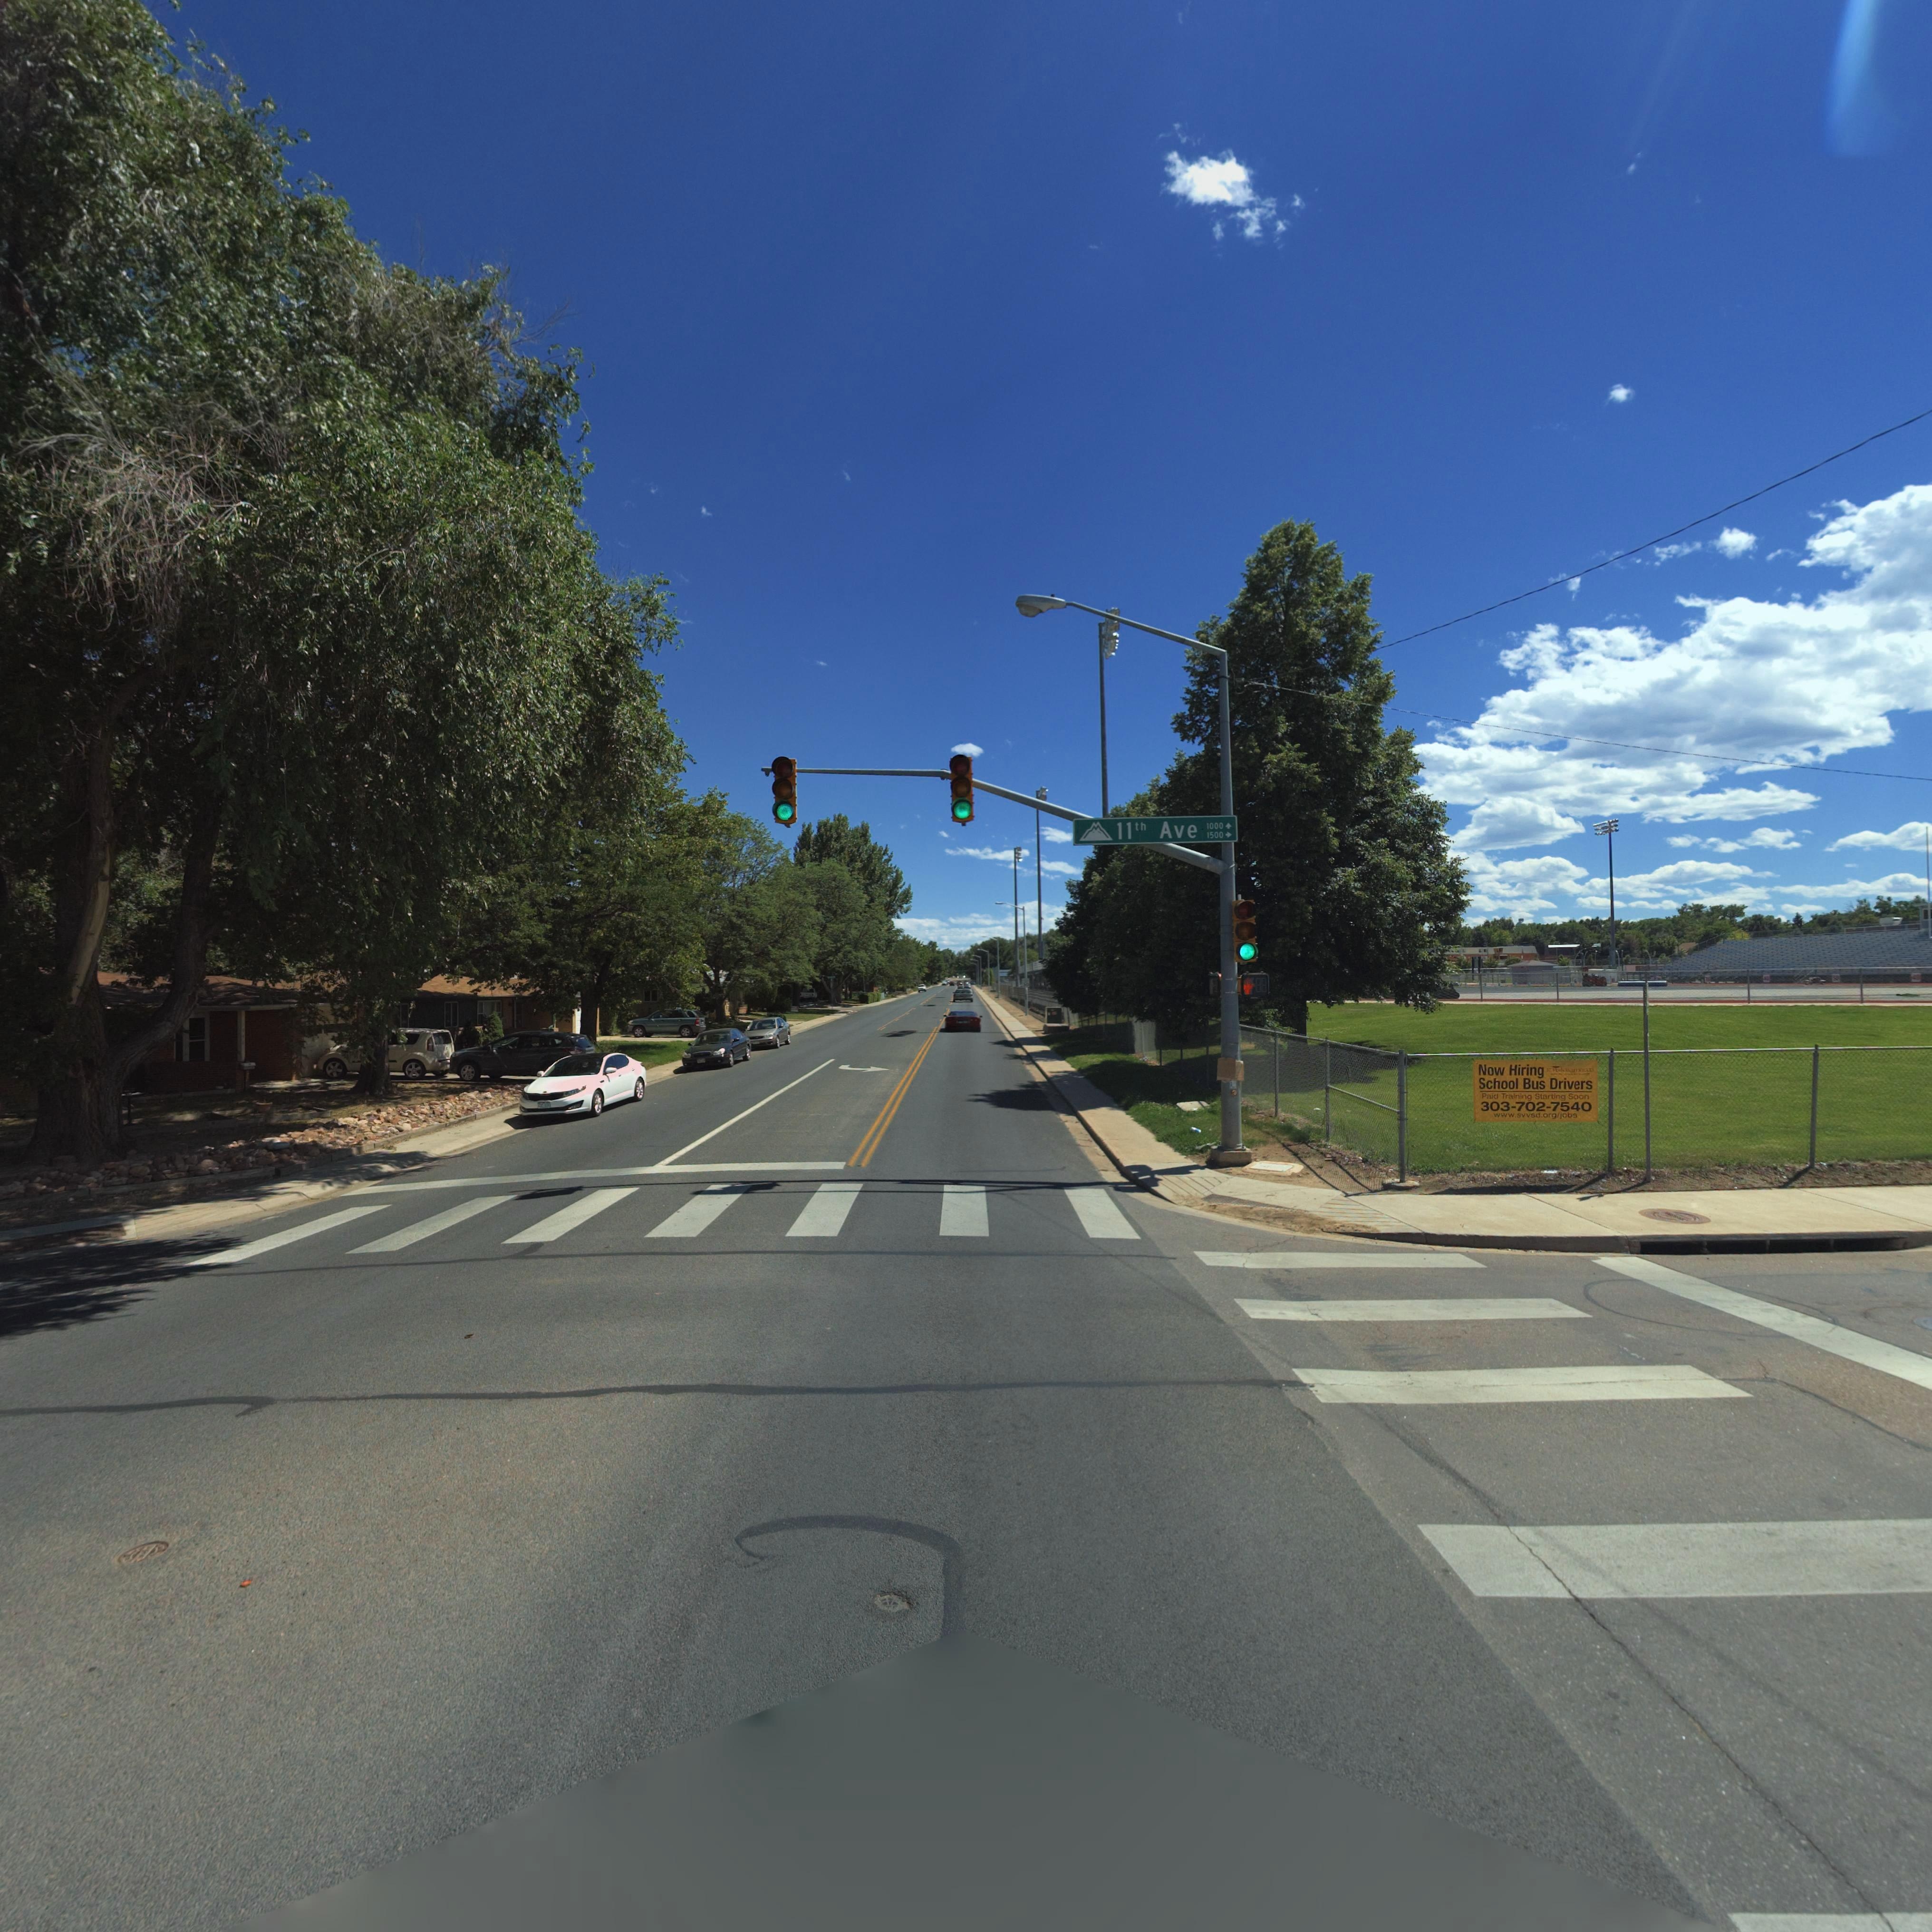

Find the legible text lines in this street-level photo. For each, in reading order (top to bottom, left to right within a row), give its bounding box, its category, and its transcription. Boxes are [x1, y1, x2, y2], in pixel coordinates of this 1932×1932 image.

[1206, 821, 1224, 830] StreetNumberRange: 1000
[1115, 821, 1198, 840] StreetName: 11th Ave
[1206, 831, 1233, 839] StreetNumberRange: 1500 ->